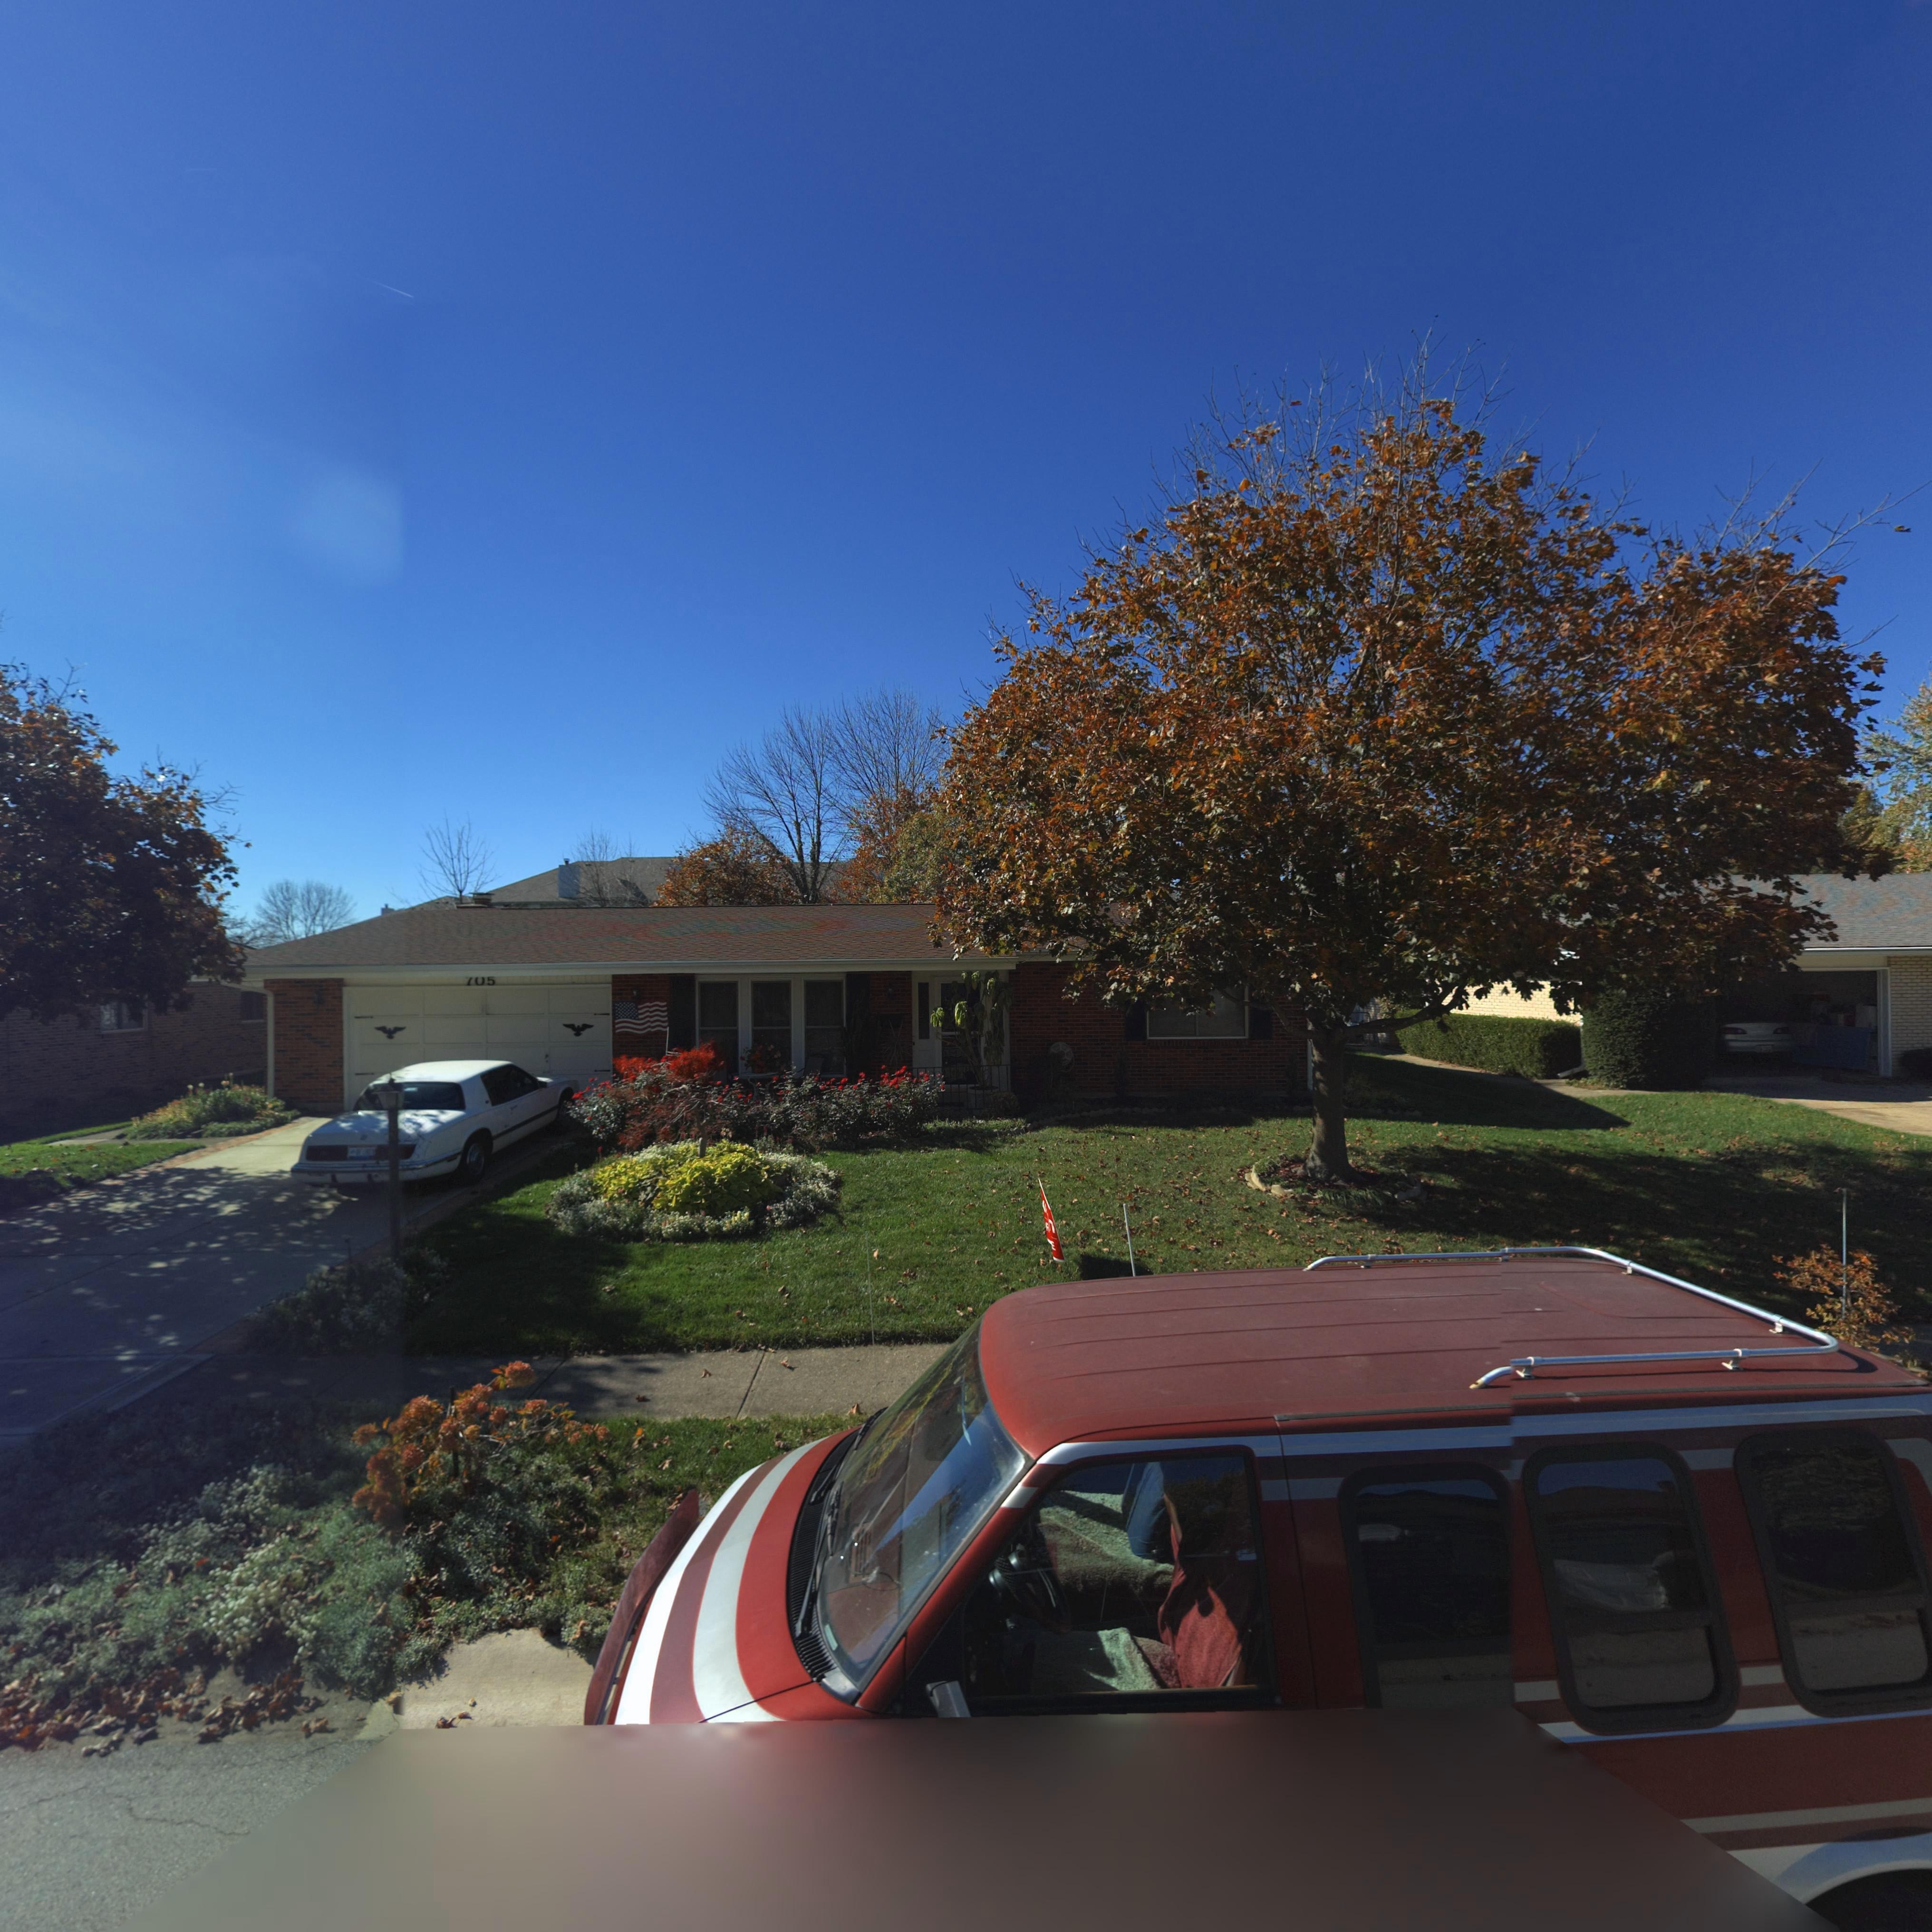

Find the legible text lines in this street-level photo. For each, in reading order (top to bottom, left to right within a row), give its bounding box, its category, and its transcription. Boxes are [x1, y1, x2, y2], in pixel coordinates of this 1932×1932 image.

[465, 976, 495, 986] StreetNumber: 7*5